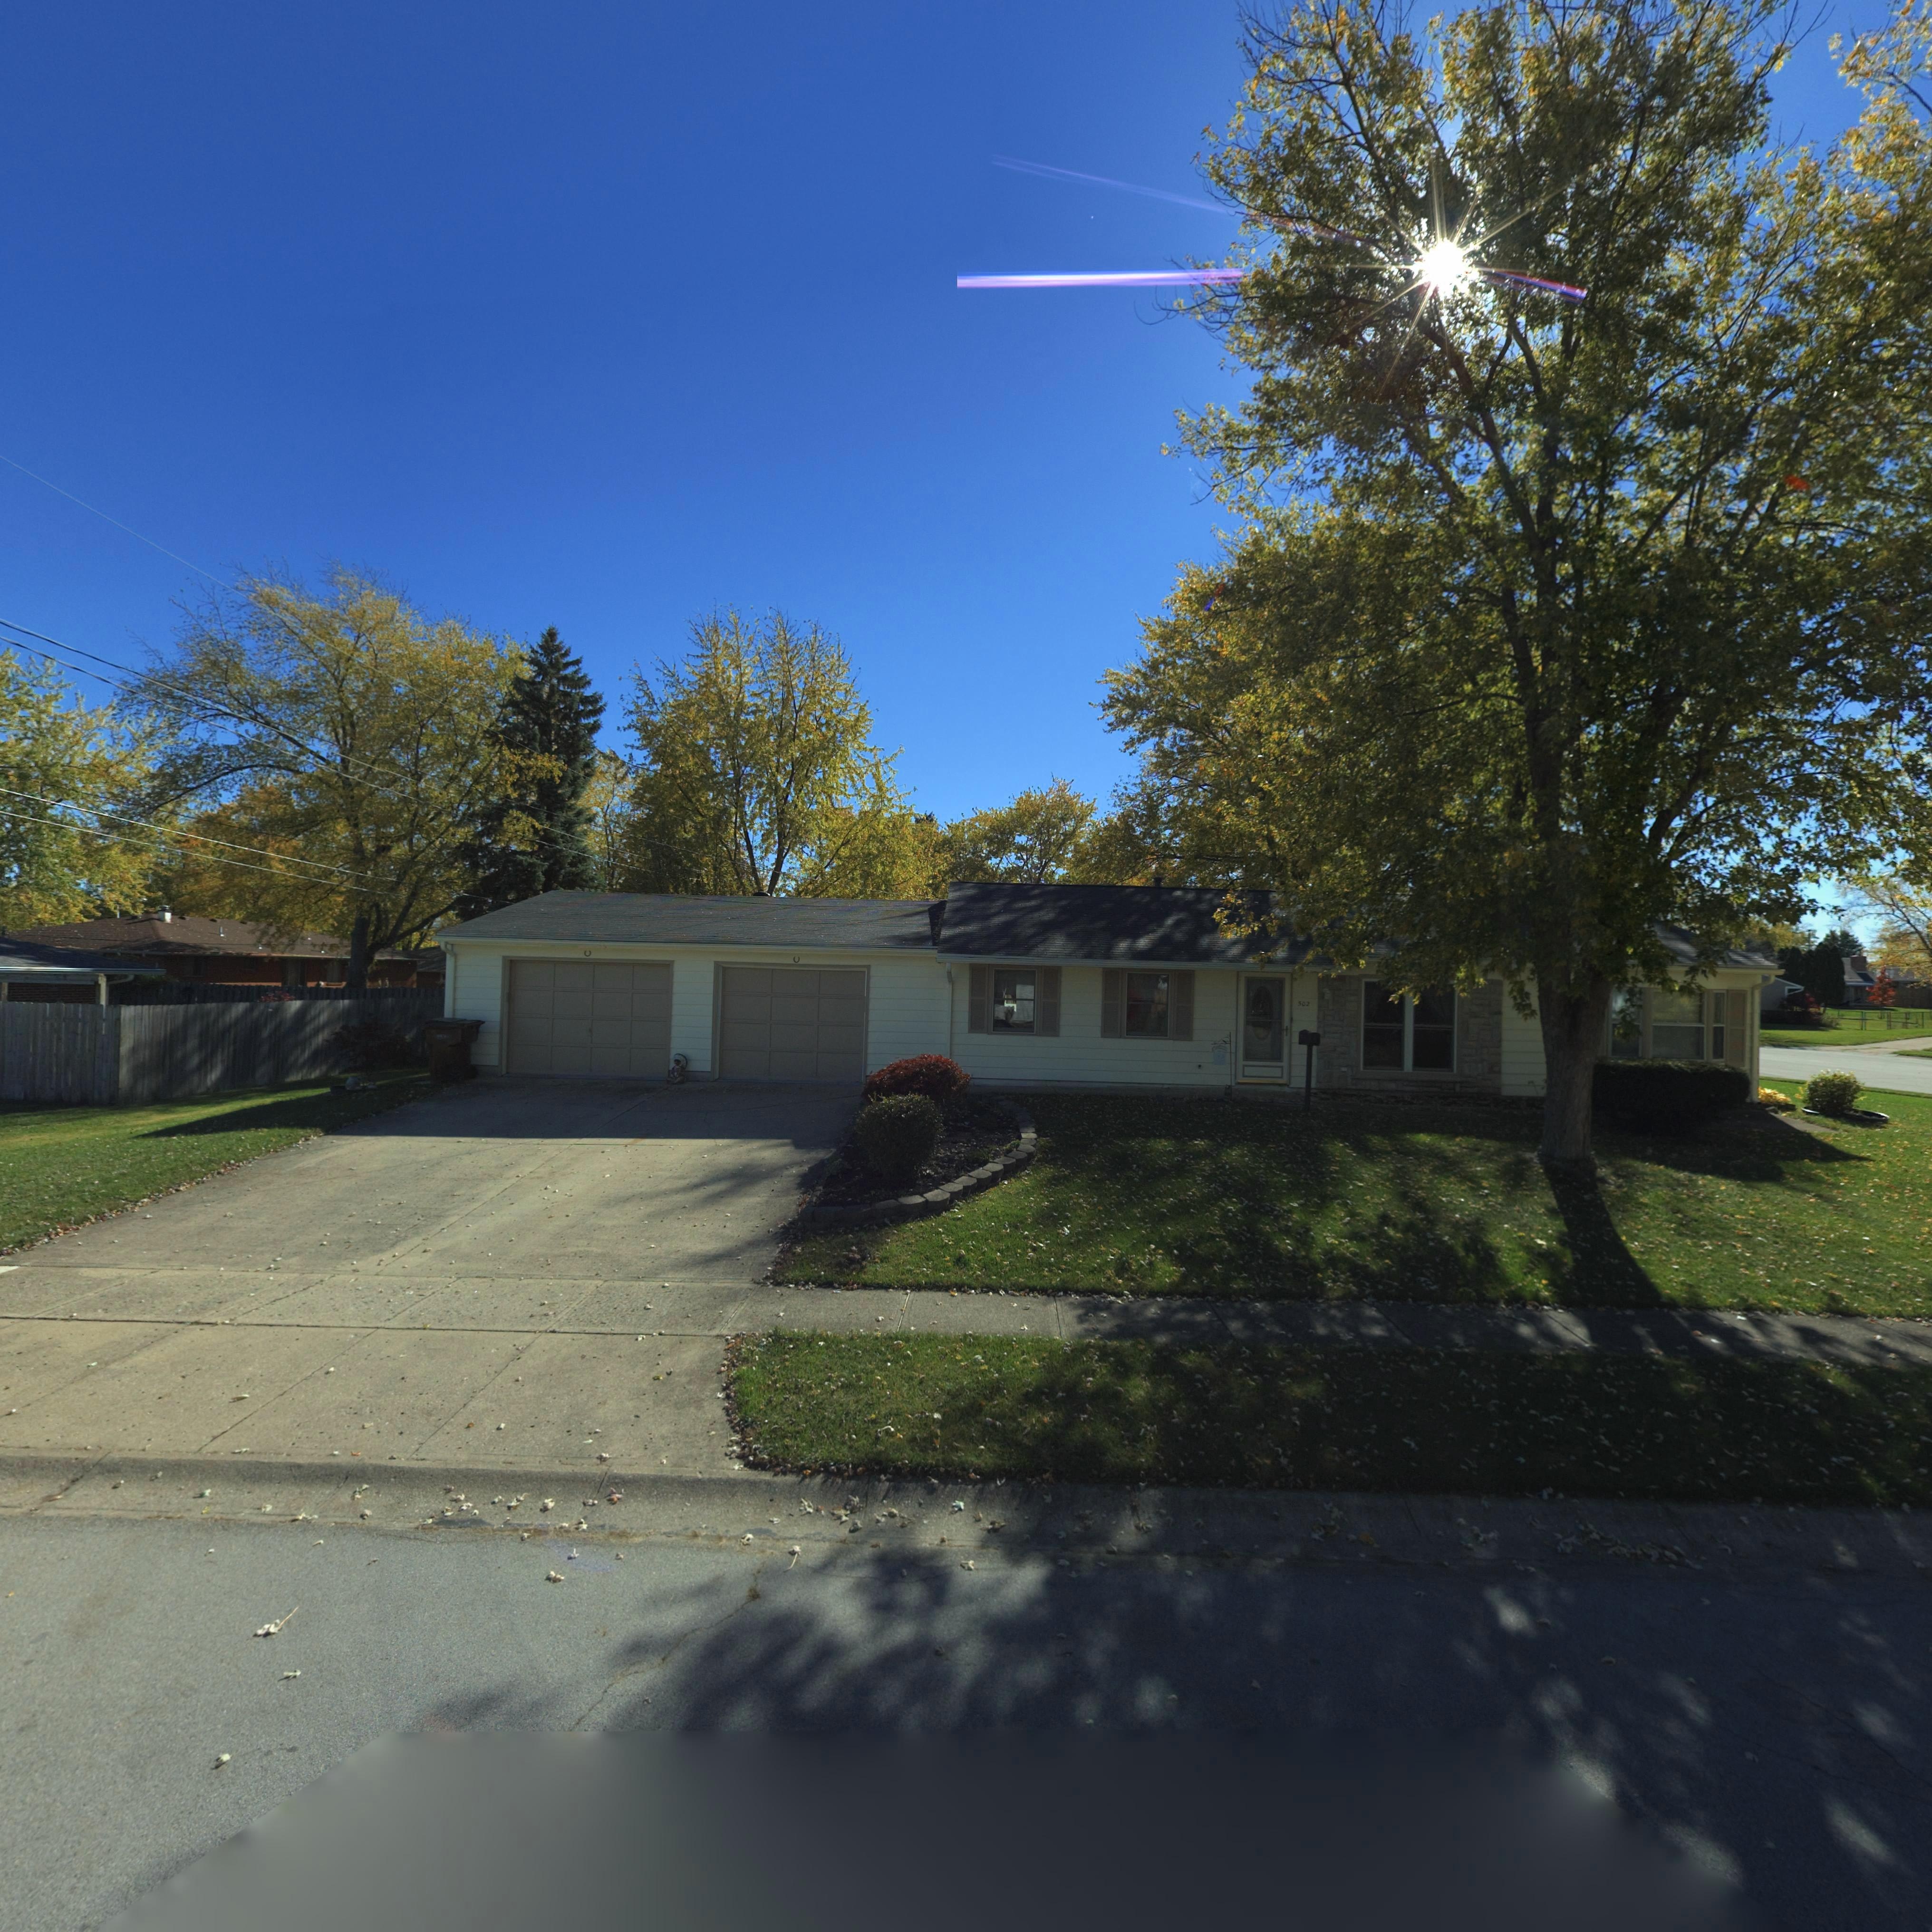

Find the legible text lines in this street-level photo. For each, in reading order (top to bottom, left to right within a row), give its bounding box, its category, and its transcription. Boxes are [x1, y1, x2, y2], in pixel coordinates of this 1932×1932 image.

[1297, 1001, 1310, 1006] StreetNumber: 502